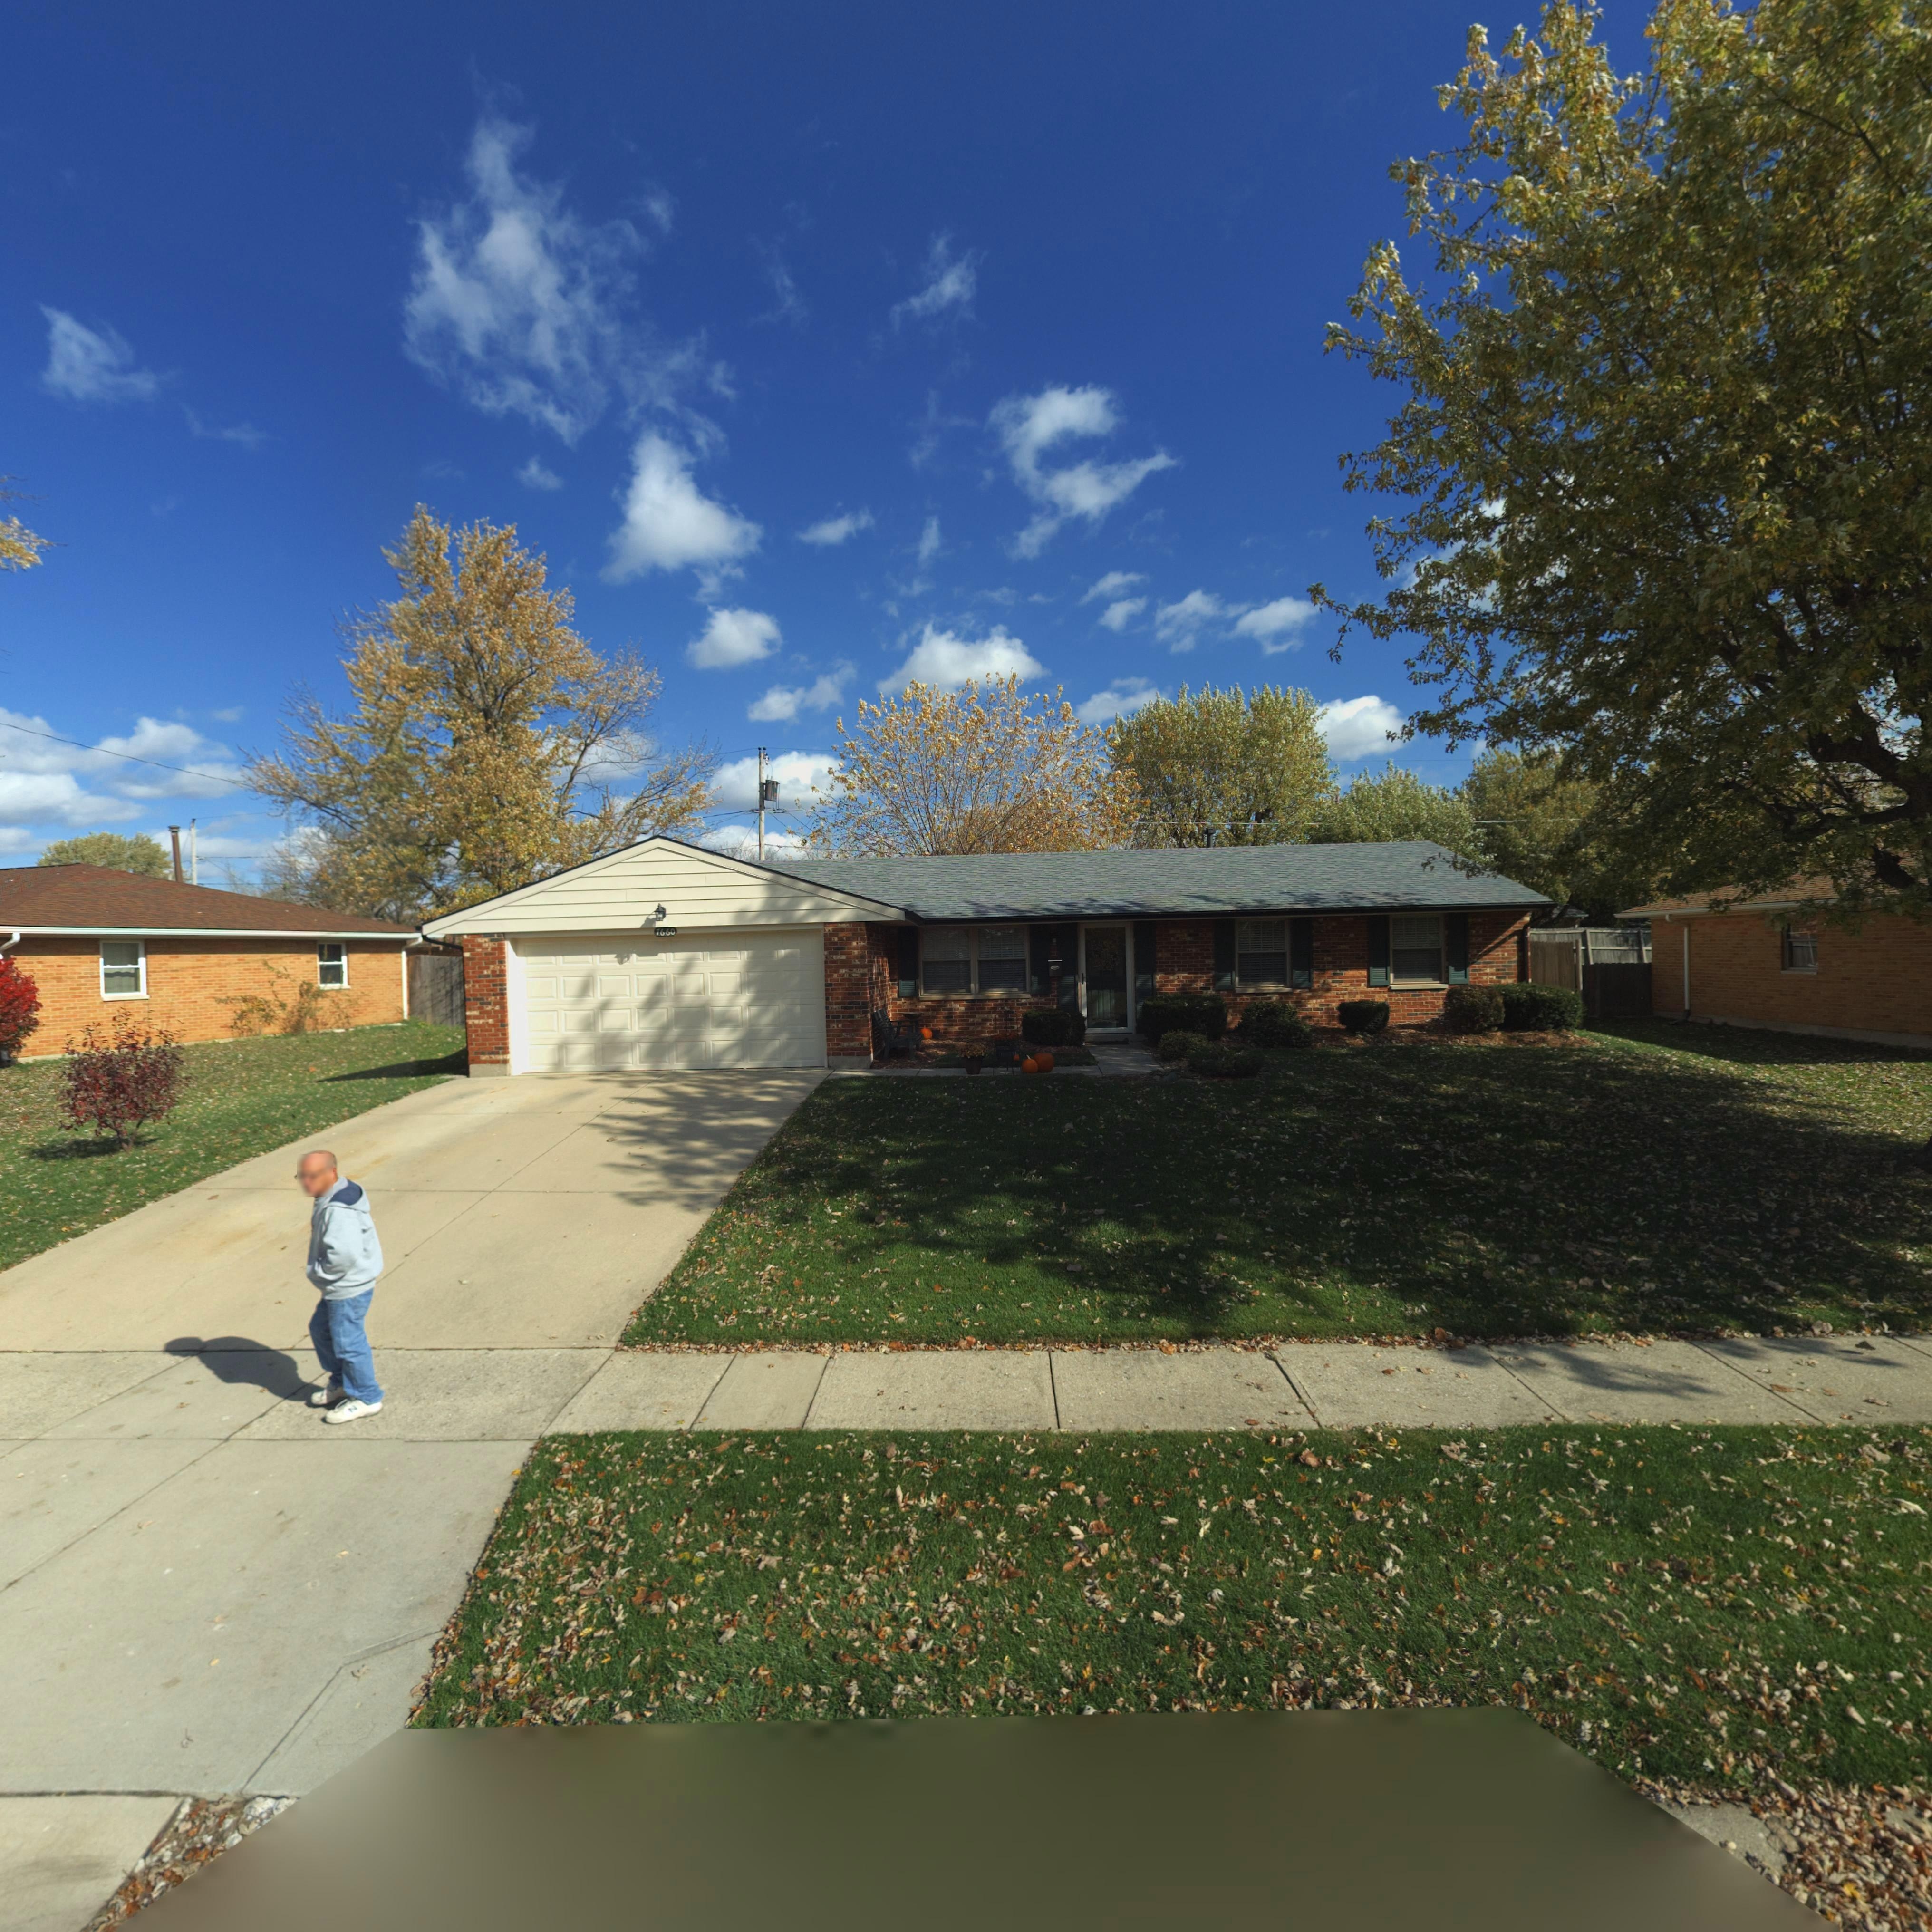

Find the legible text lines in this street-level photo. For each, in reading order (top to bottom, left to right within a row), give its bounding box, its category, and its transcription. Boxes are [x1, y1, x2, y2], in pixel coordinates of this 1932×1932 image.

[655, 927, 677, 937] StreetNumber: 7660